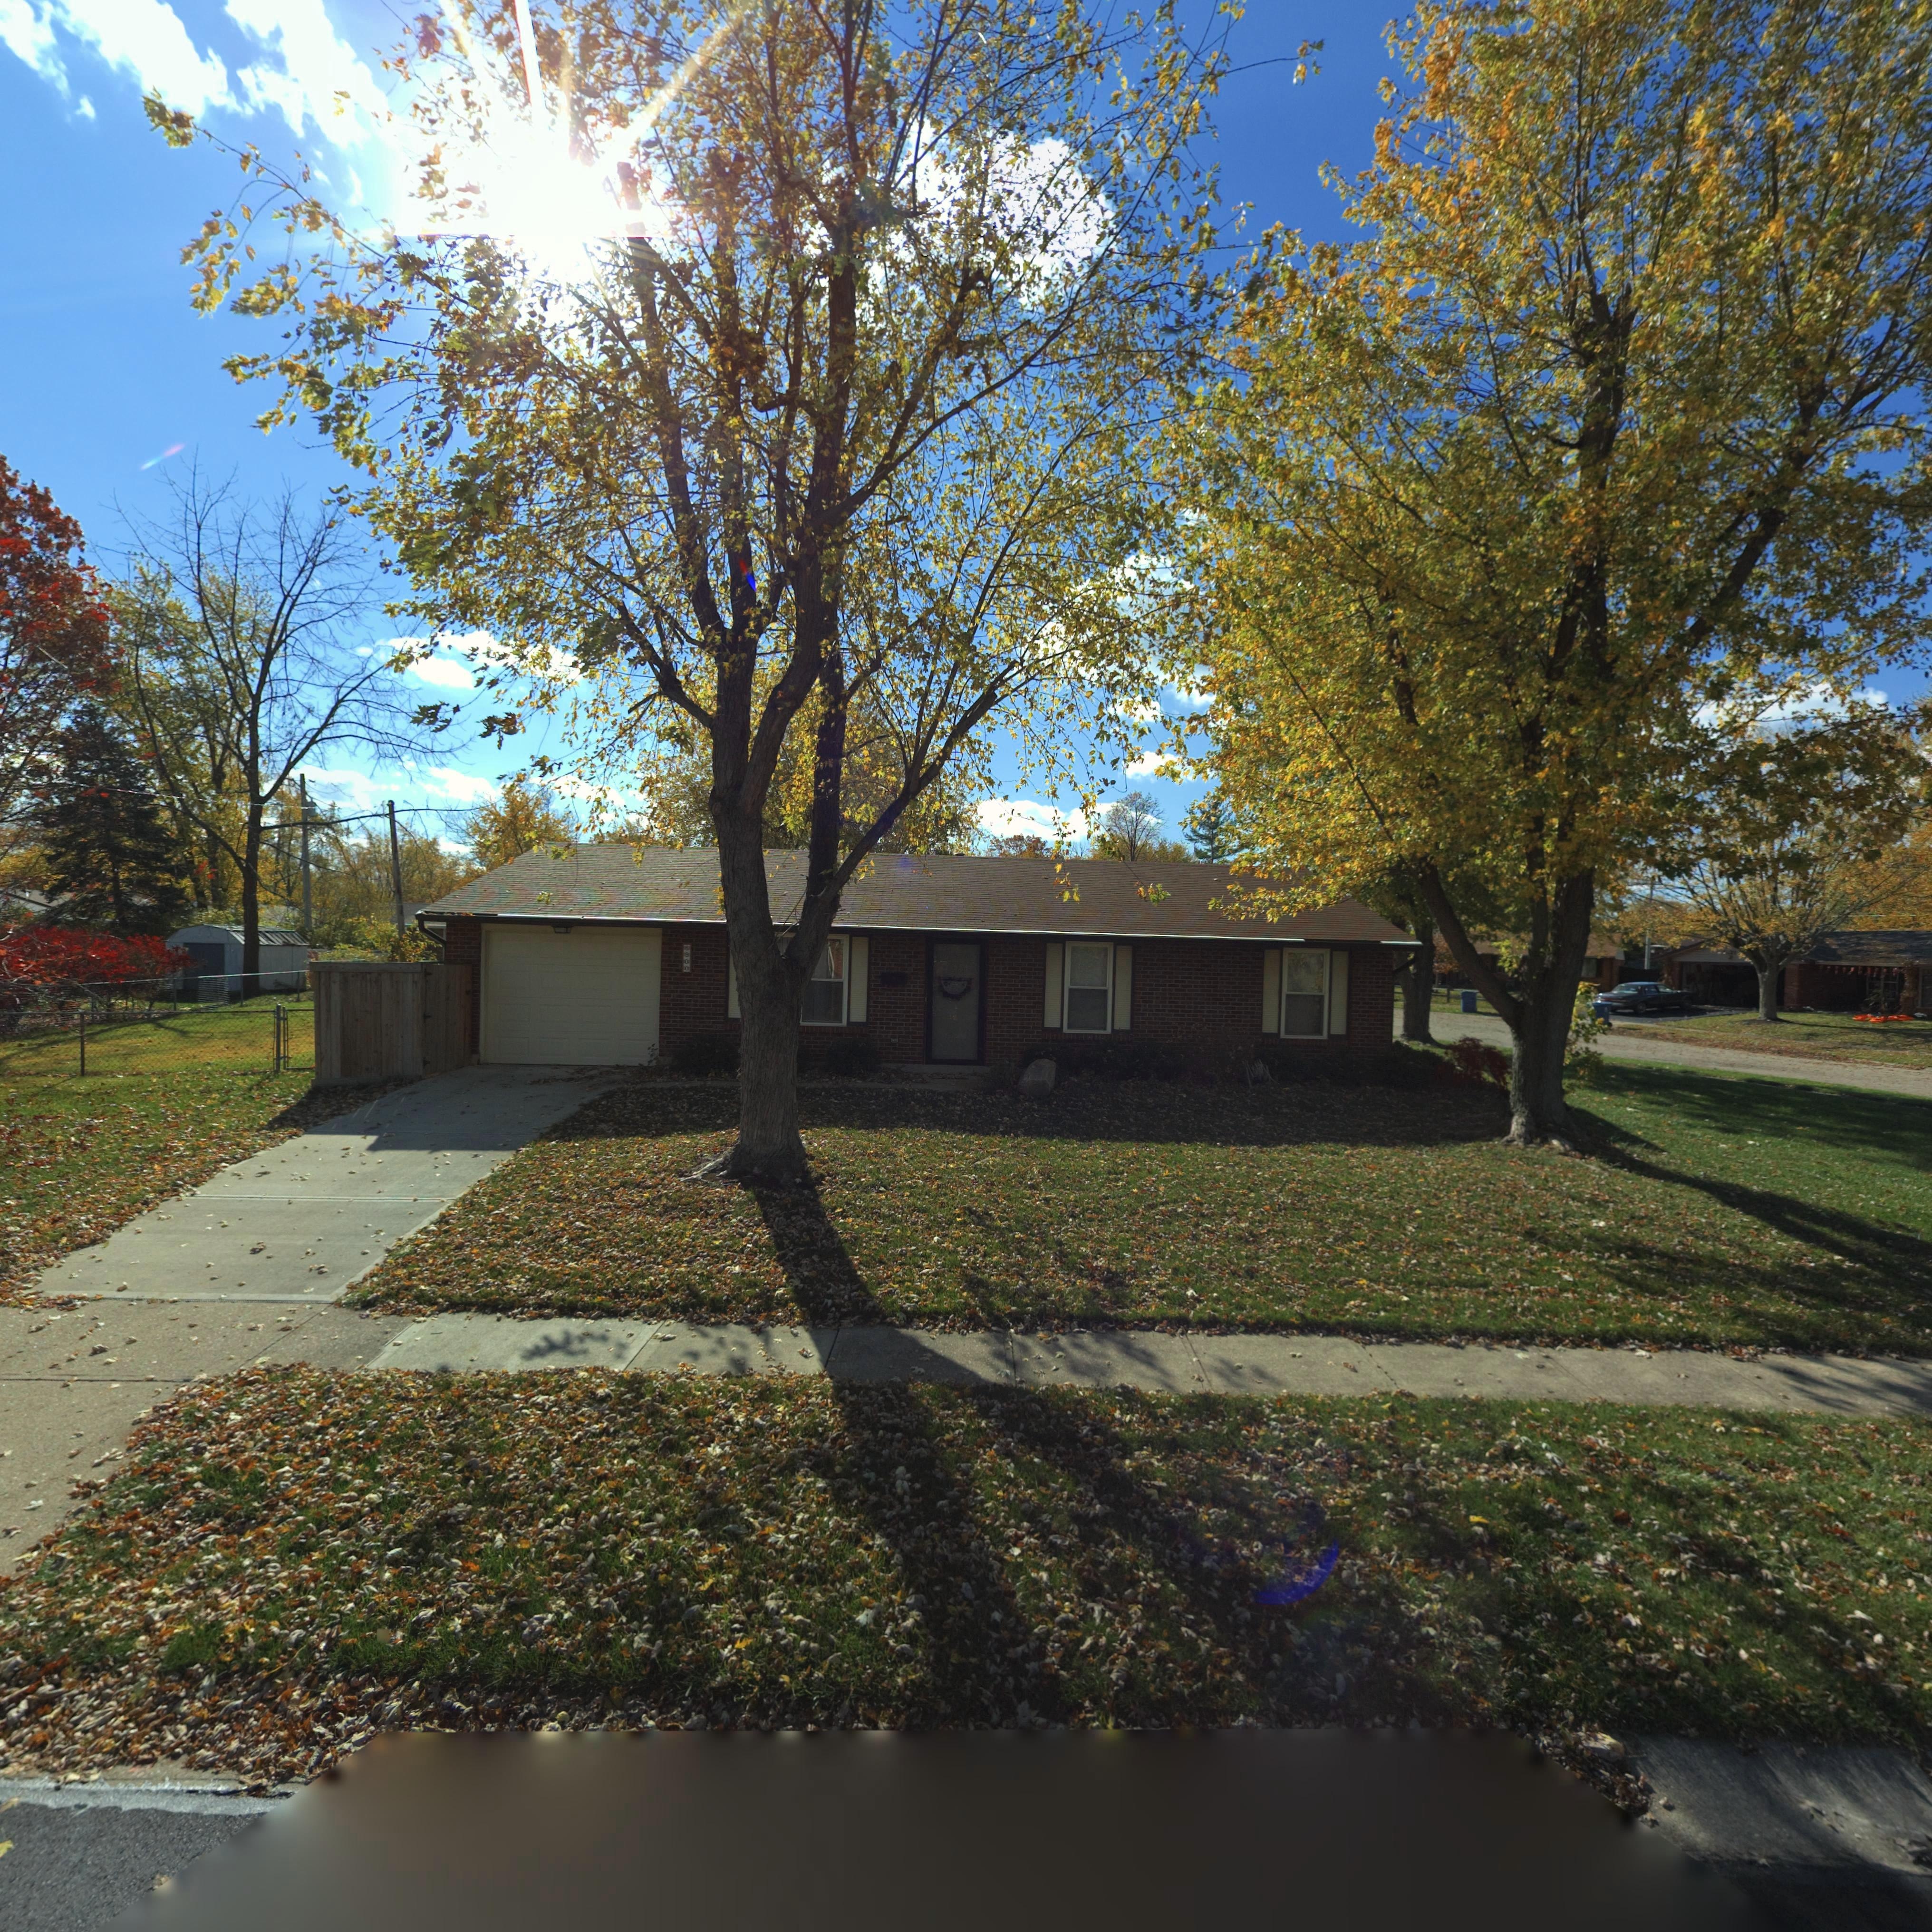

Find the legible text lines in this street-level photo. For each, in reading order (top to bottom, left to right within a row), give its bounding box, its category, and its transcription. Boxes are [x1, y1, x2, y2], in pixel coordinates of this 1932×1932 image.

[684, 944, 690, 972] StreetNumber: 6900